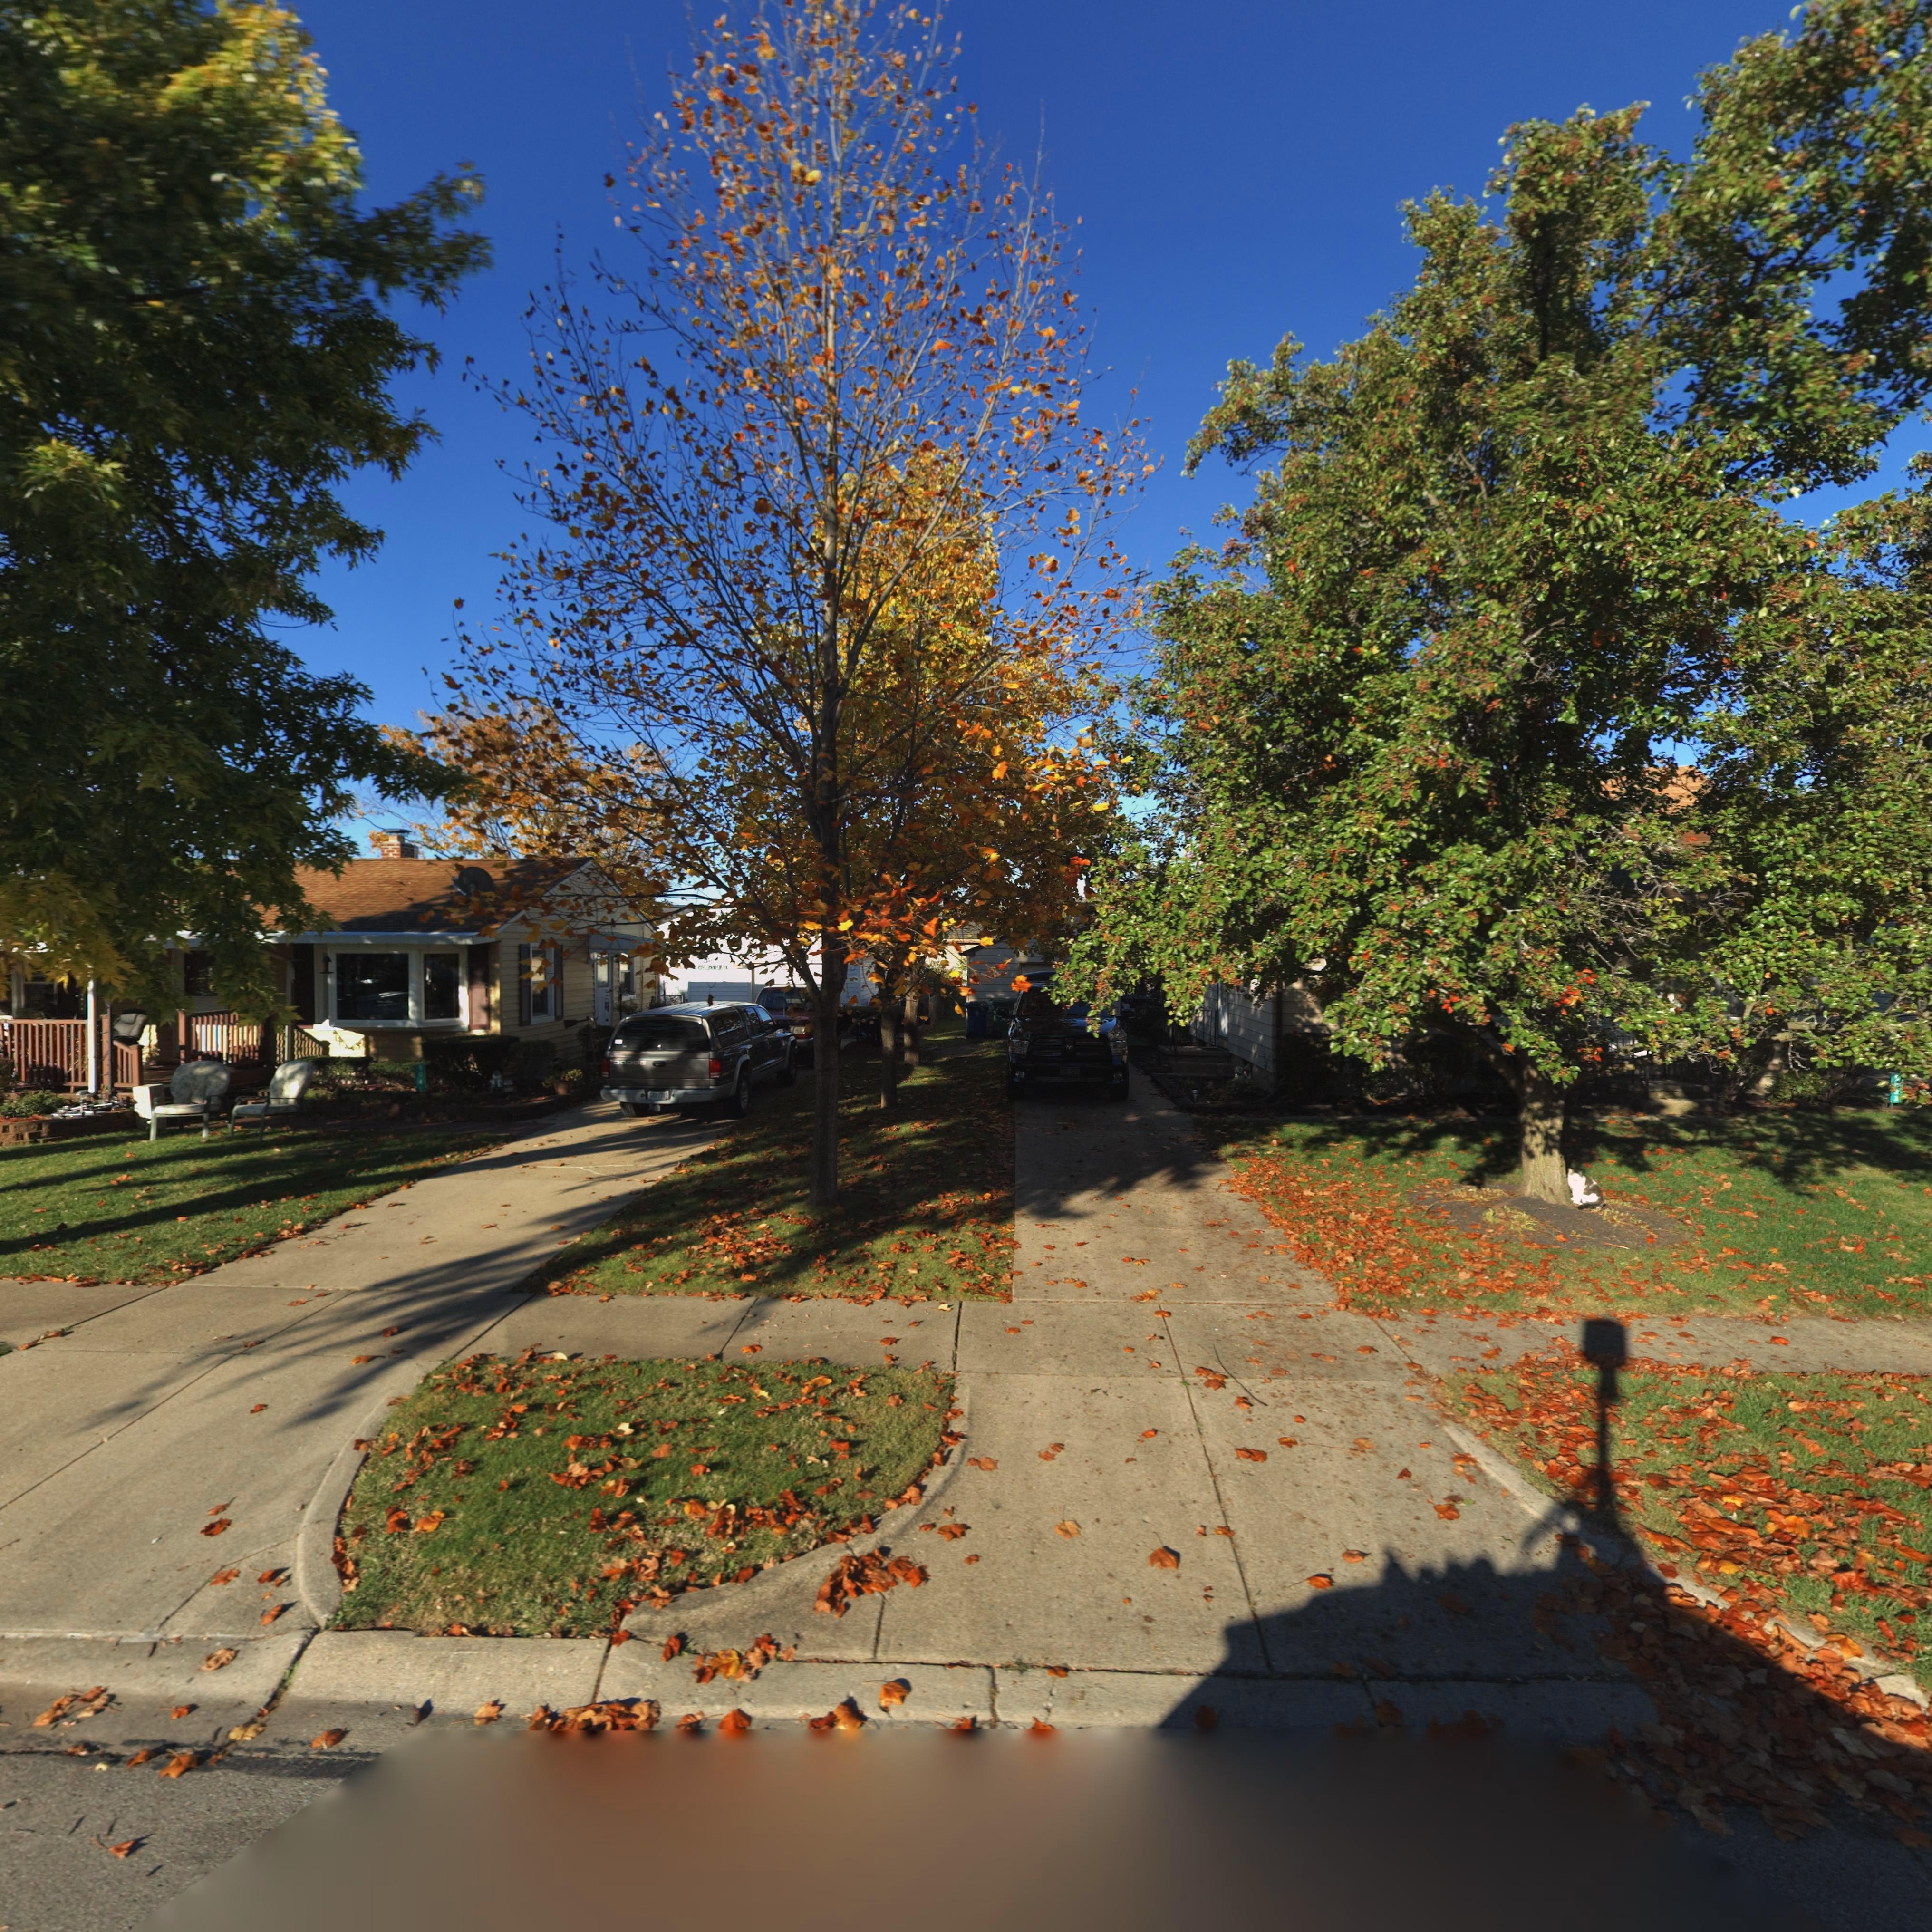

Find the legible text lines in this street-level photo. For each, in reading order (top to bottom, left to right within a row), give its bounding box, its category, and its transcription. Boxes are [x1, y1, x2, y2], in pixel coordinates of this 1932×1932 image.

[417, 1064, 424, 1092] StreetNumber: 5041